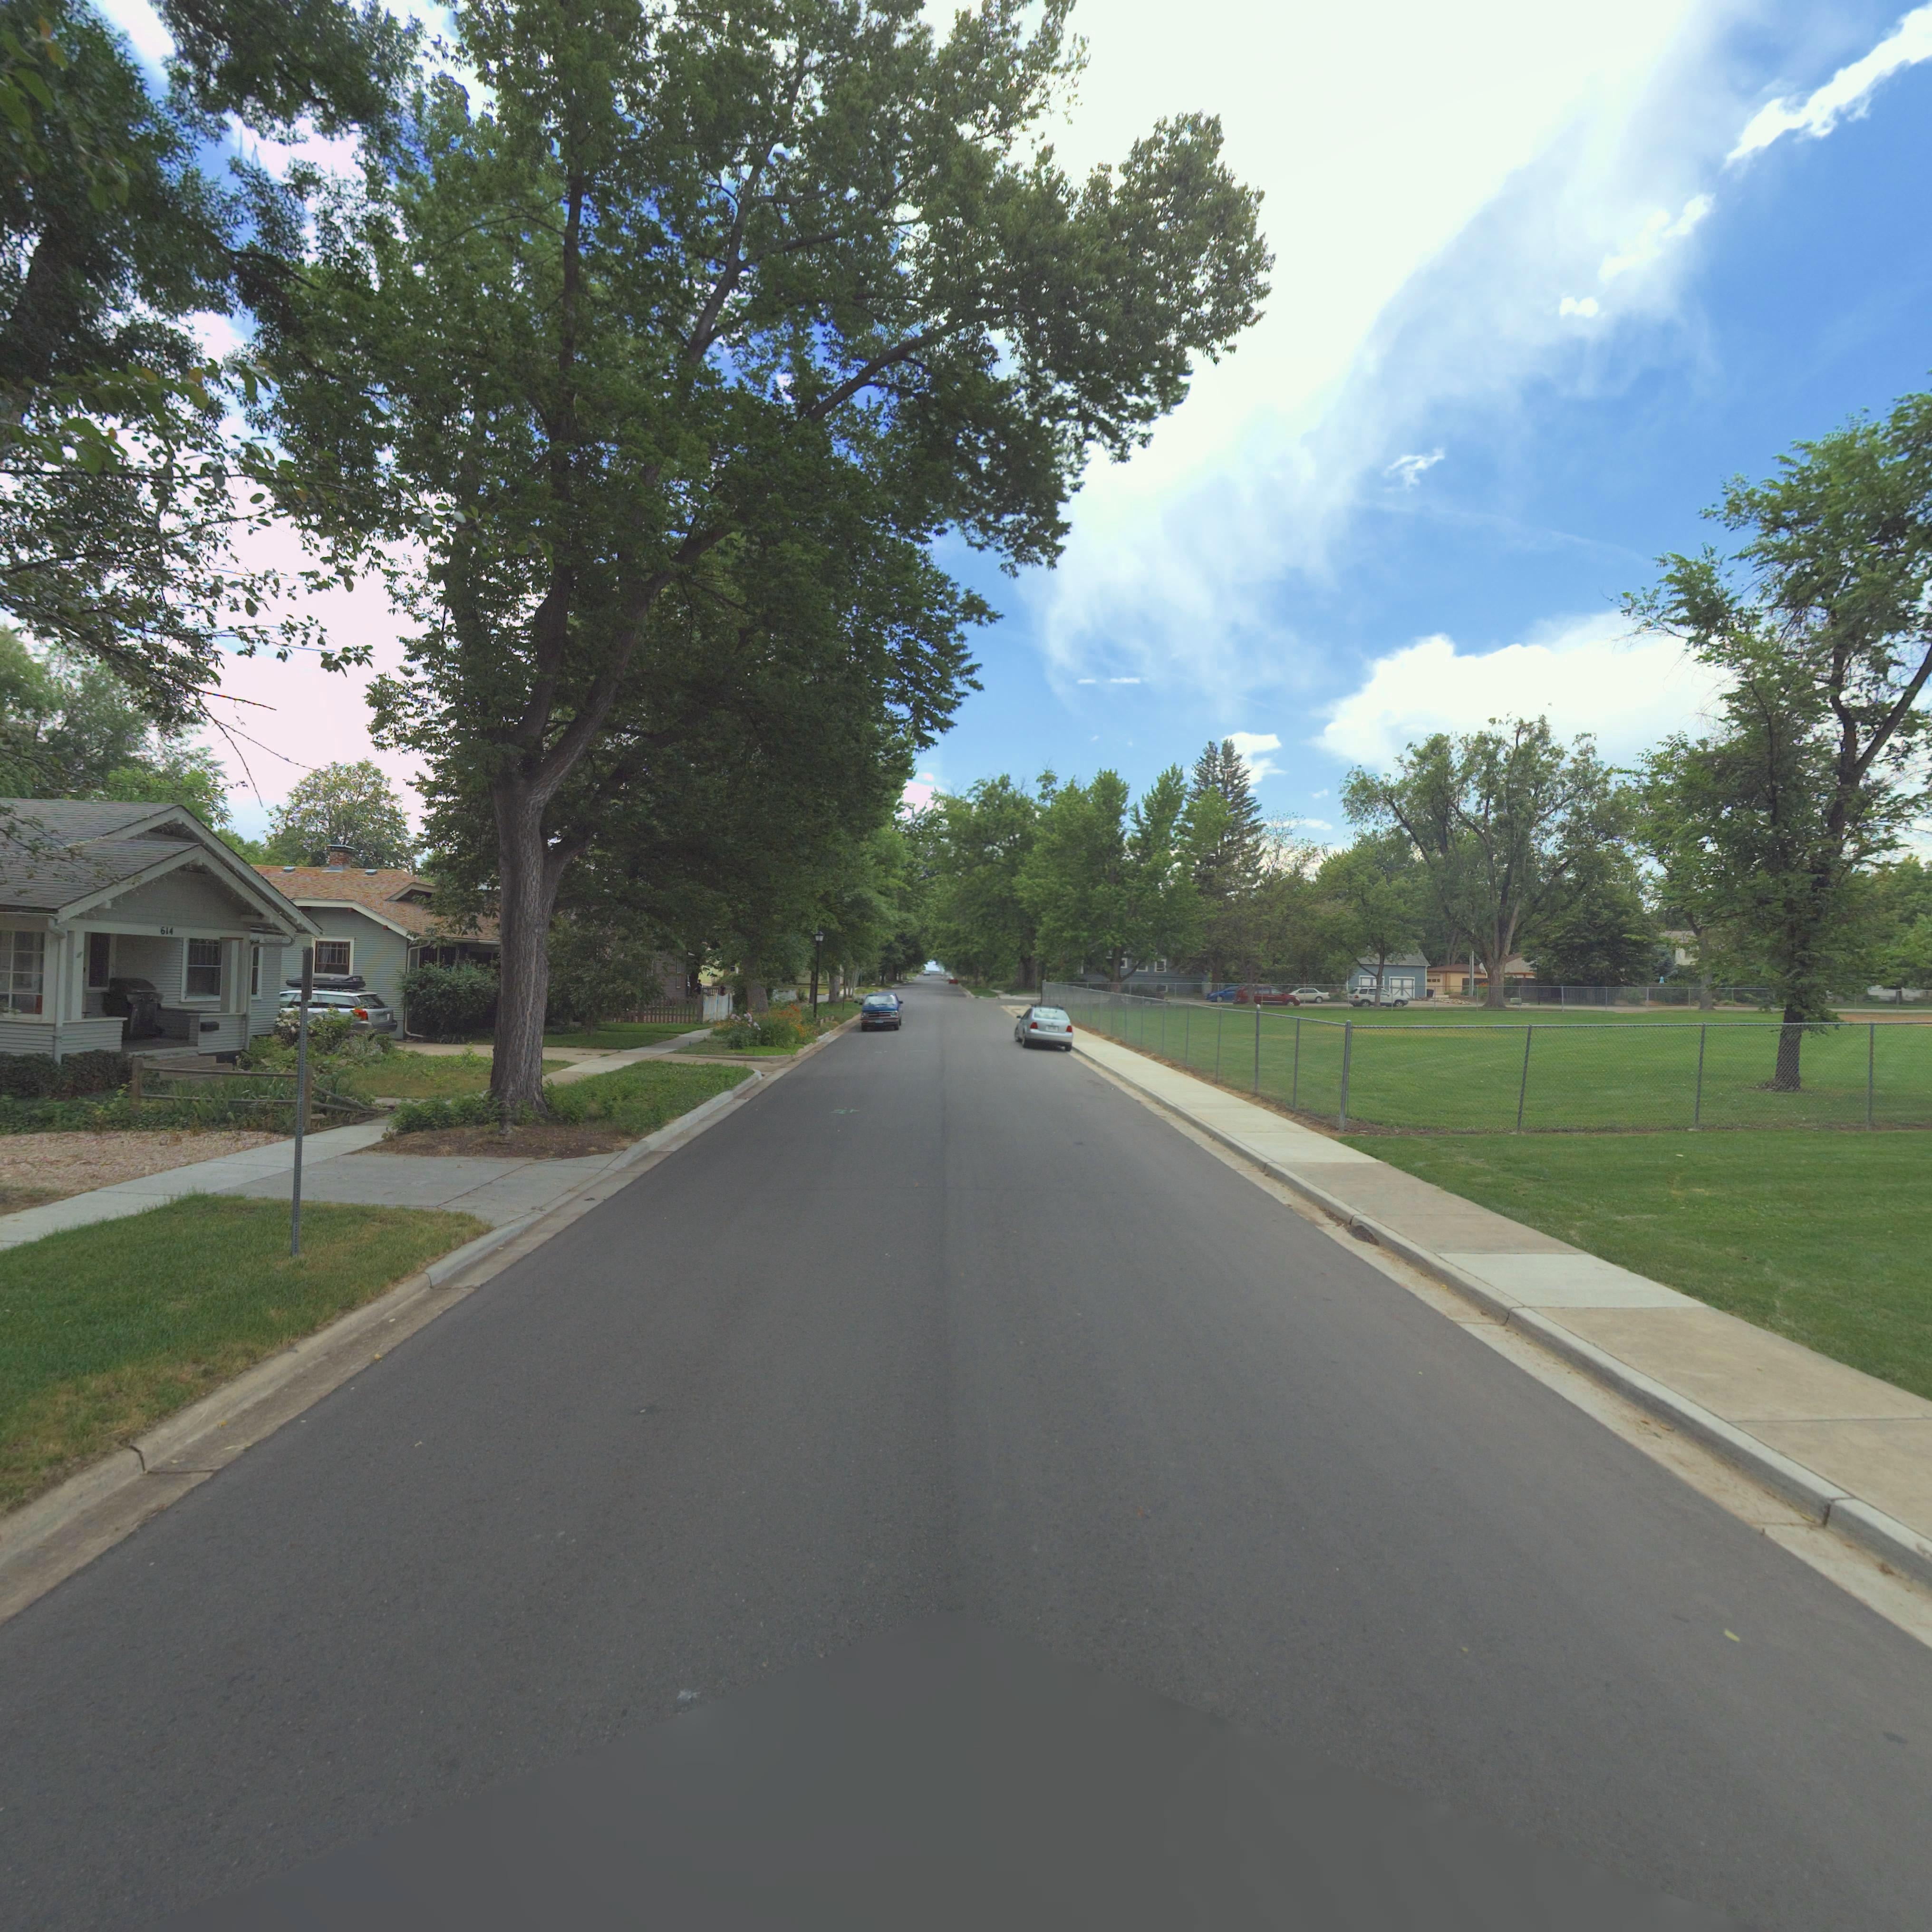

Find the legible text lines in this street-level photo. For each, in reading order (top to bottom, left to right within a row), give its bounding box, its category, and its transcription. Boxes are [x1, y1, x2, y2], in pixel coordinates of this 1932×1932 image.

[160, 926, 174, 935] StreetNumber: 614